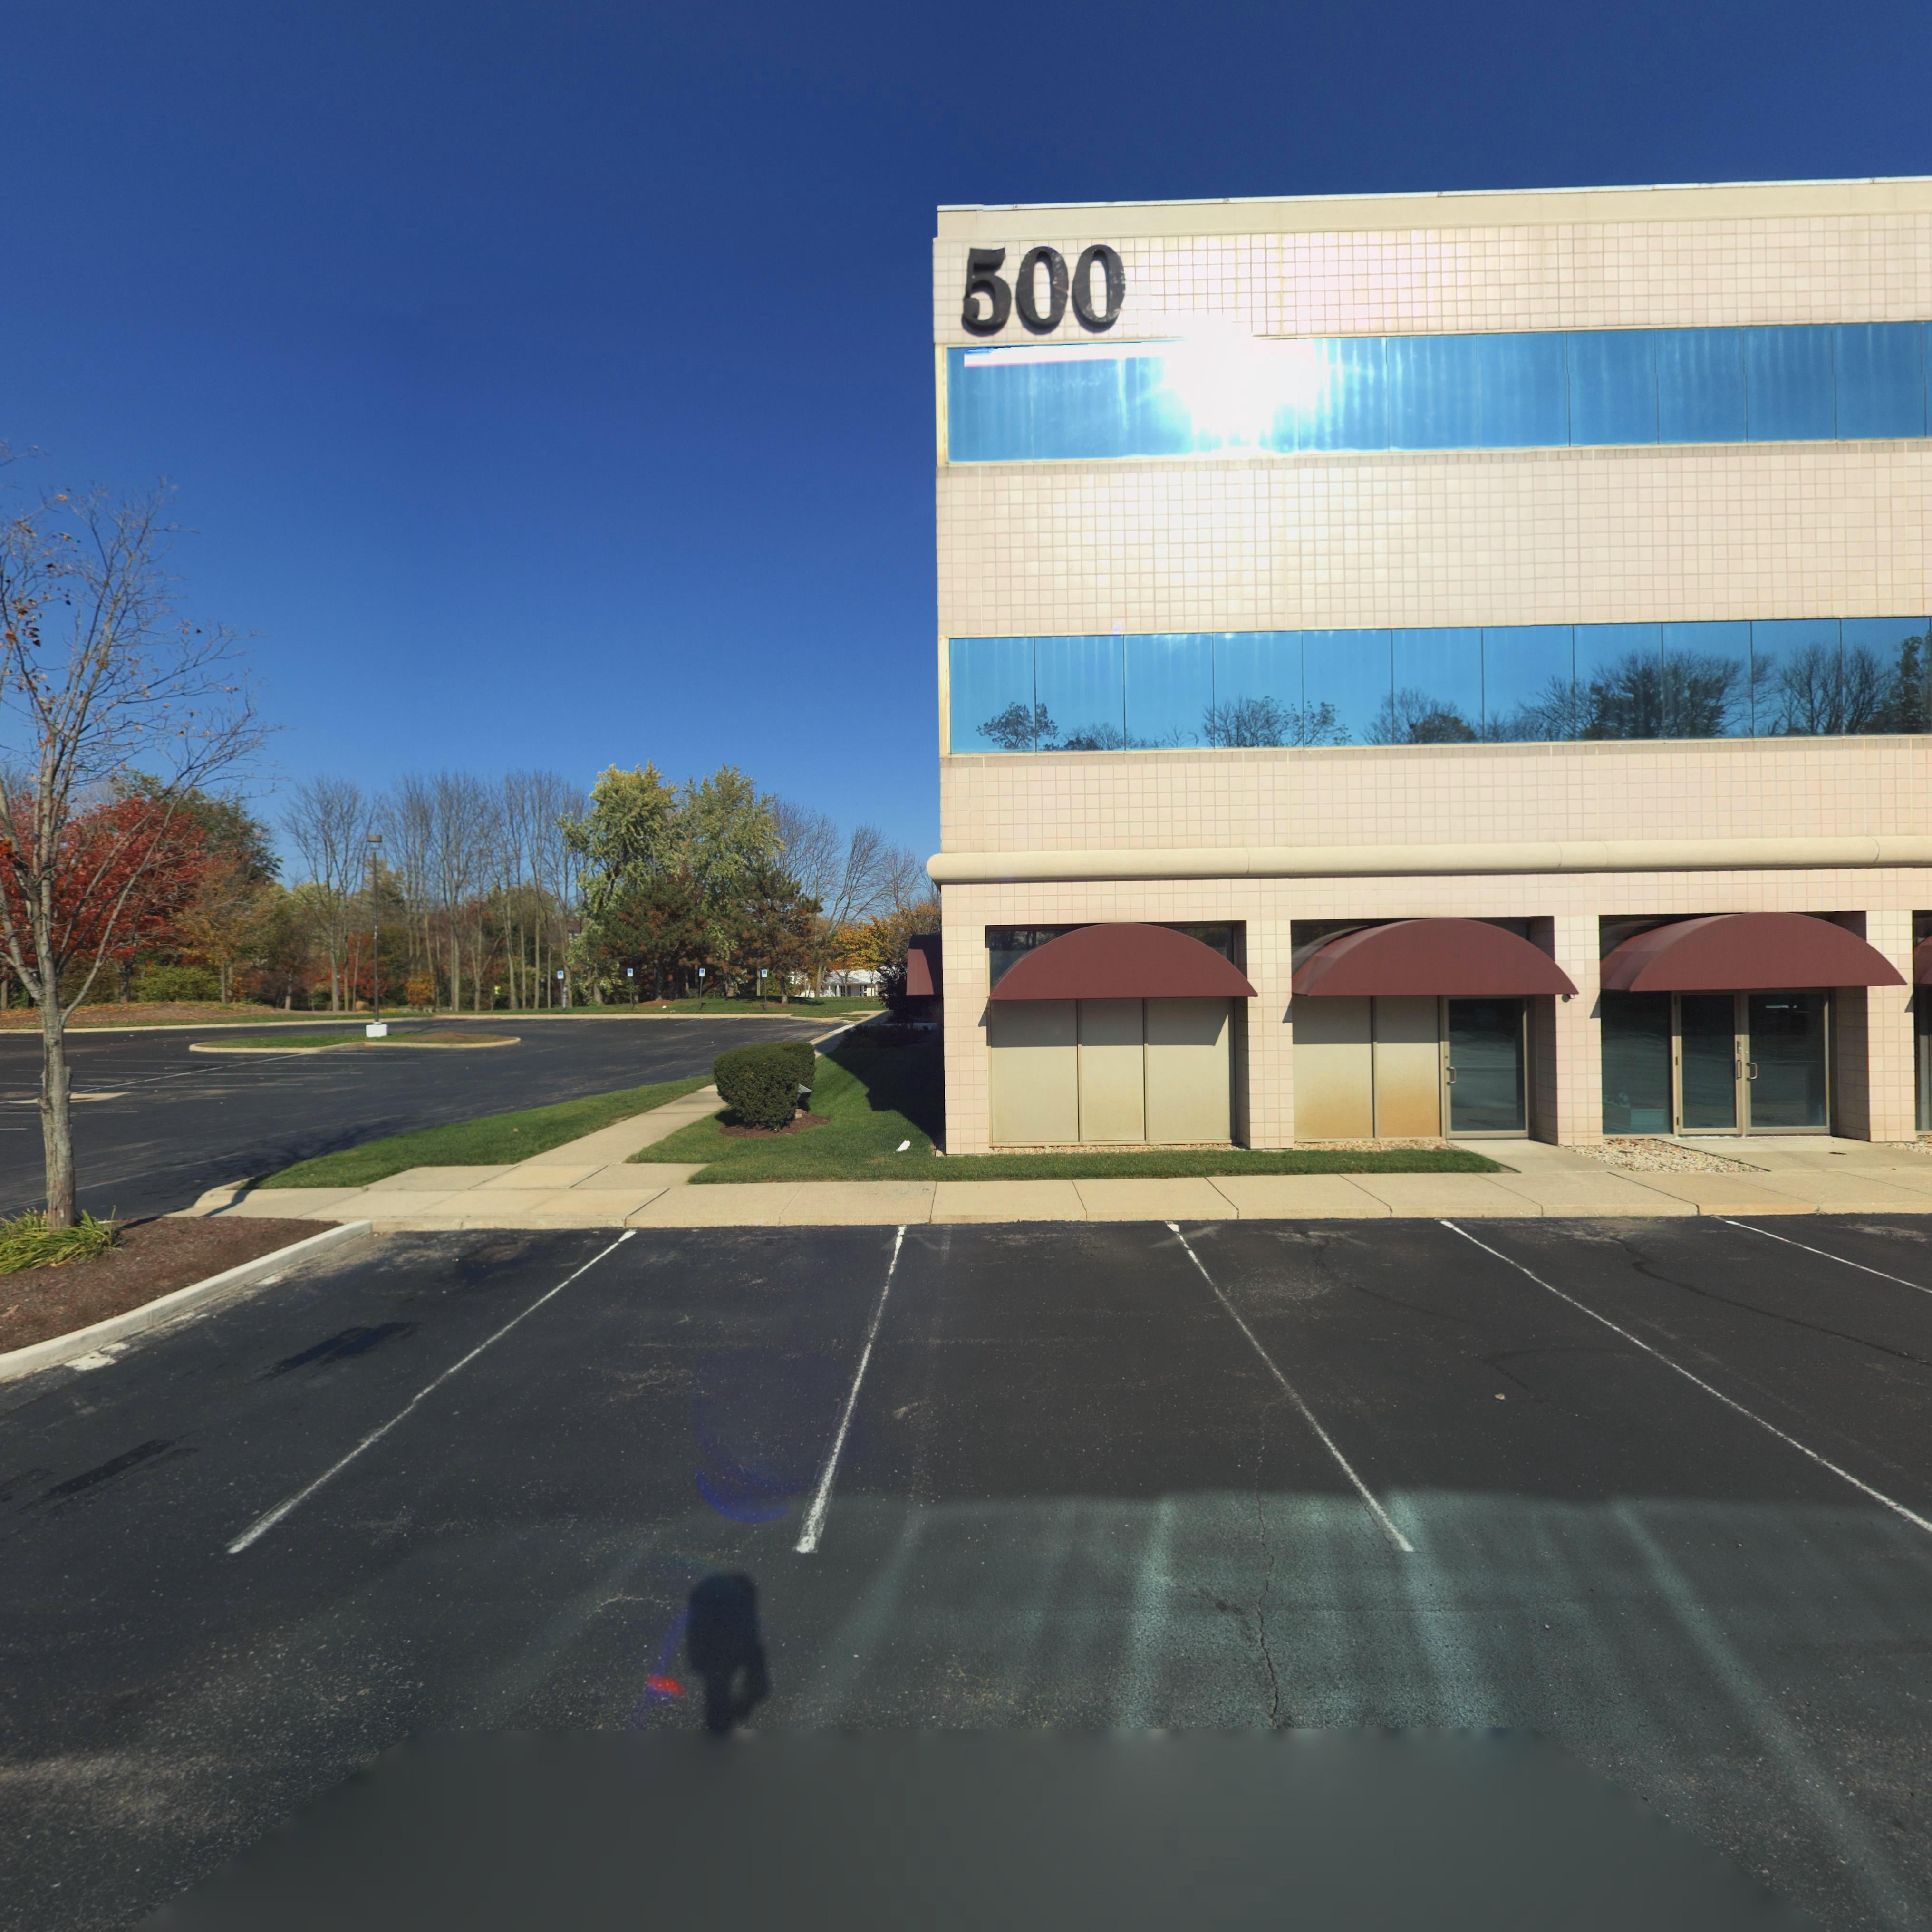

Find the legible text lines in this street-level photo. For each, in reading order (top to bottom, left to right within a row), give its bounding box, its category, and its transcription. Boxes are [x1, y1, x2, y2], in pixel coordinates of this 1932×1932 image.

[961, 243, 1129, 329] StreetNumber: 500